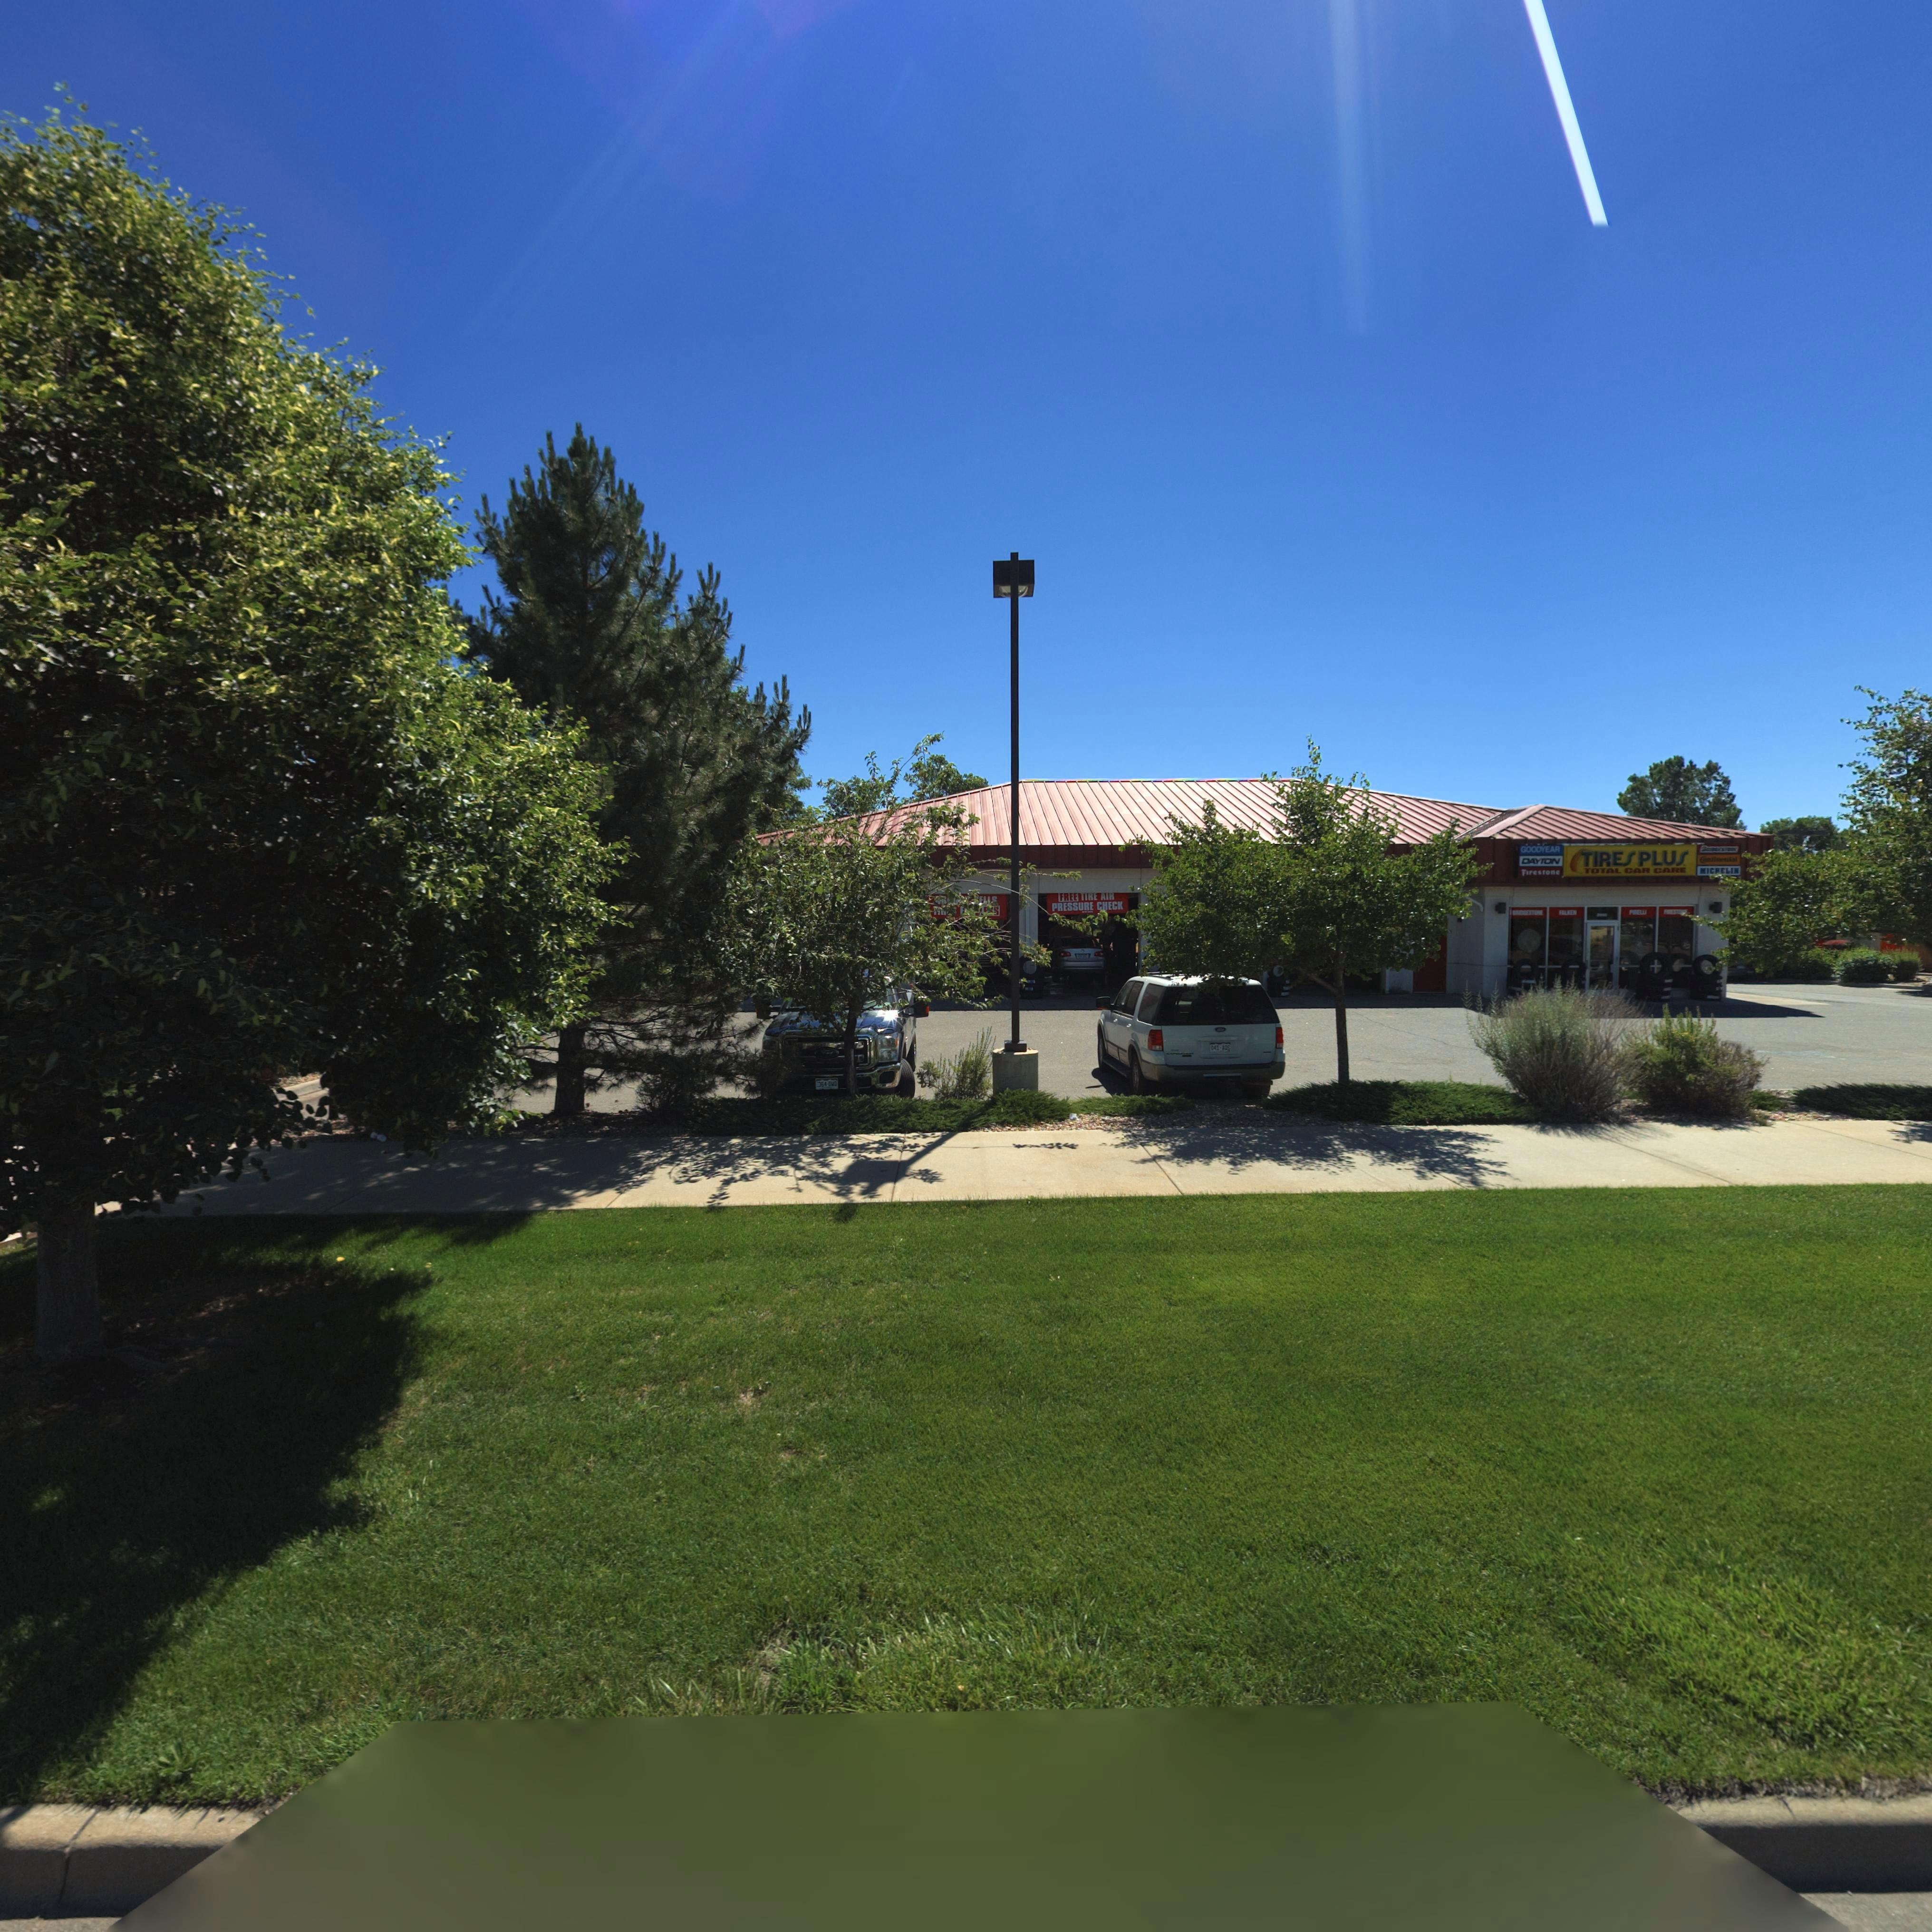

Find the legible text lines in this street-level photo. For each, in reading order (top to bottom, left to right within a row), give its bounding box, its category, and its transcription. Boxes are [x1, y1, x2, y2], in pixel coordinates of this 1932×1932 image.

[1580, 850, 1690, 867] BusinessName: TIRES PLUS
[1584, 867, 1686, 874] BusinessName: TOTAL CAR CARE